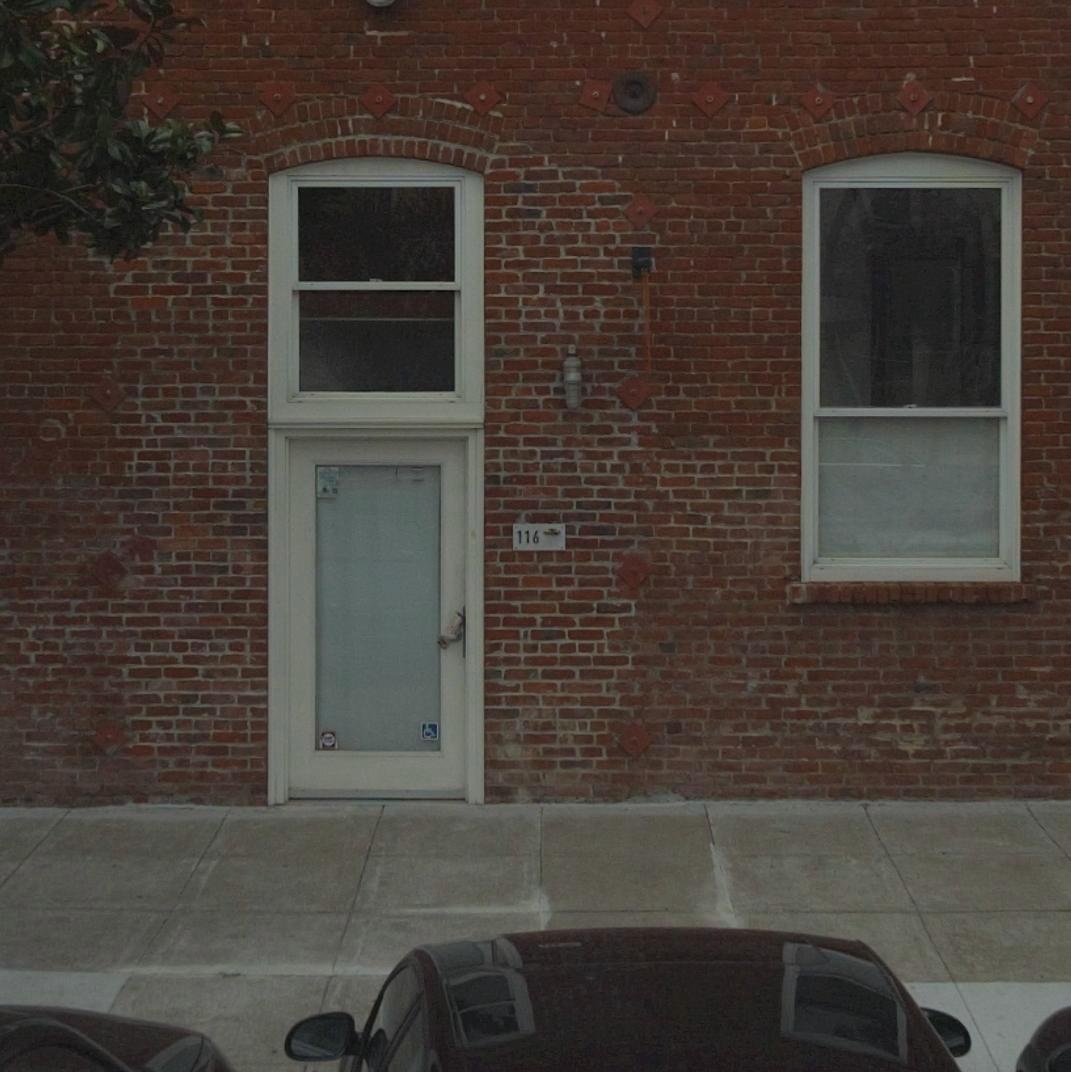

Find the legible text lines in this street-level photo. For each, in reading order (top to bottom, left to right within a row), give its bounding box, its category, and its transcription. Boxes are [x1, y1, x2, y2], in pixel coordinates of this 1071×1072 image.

[515, 529, 541, 545] StreetNumber: 116